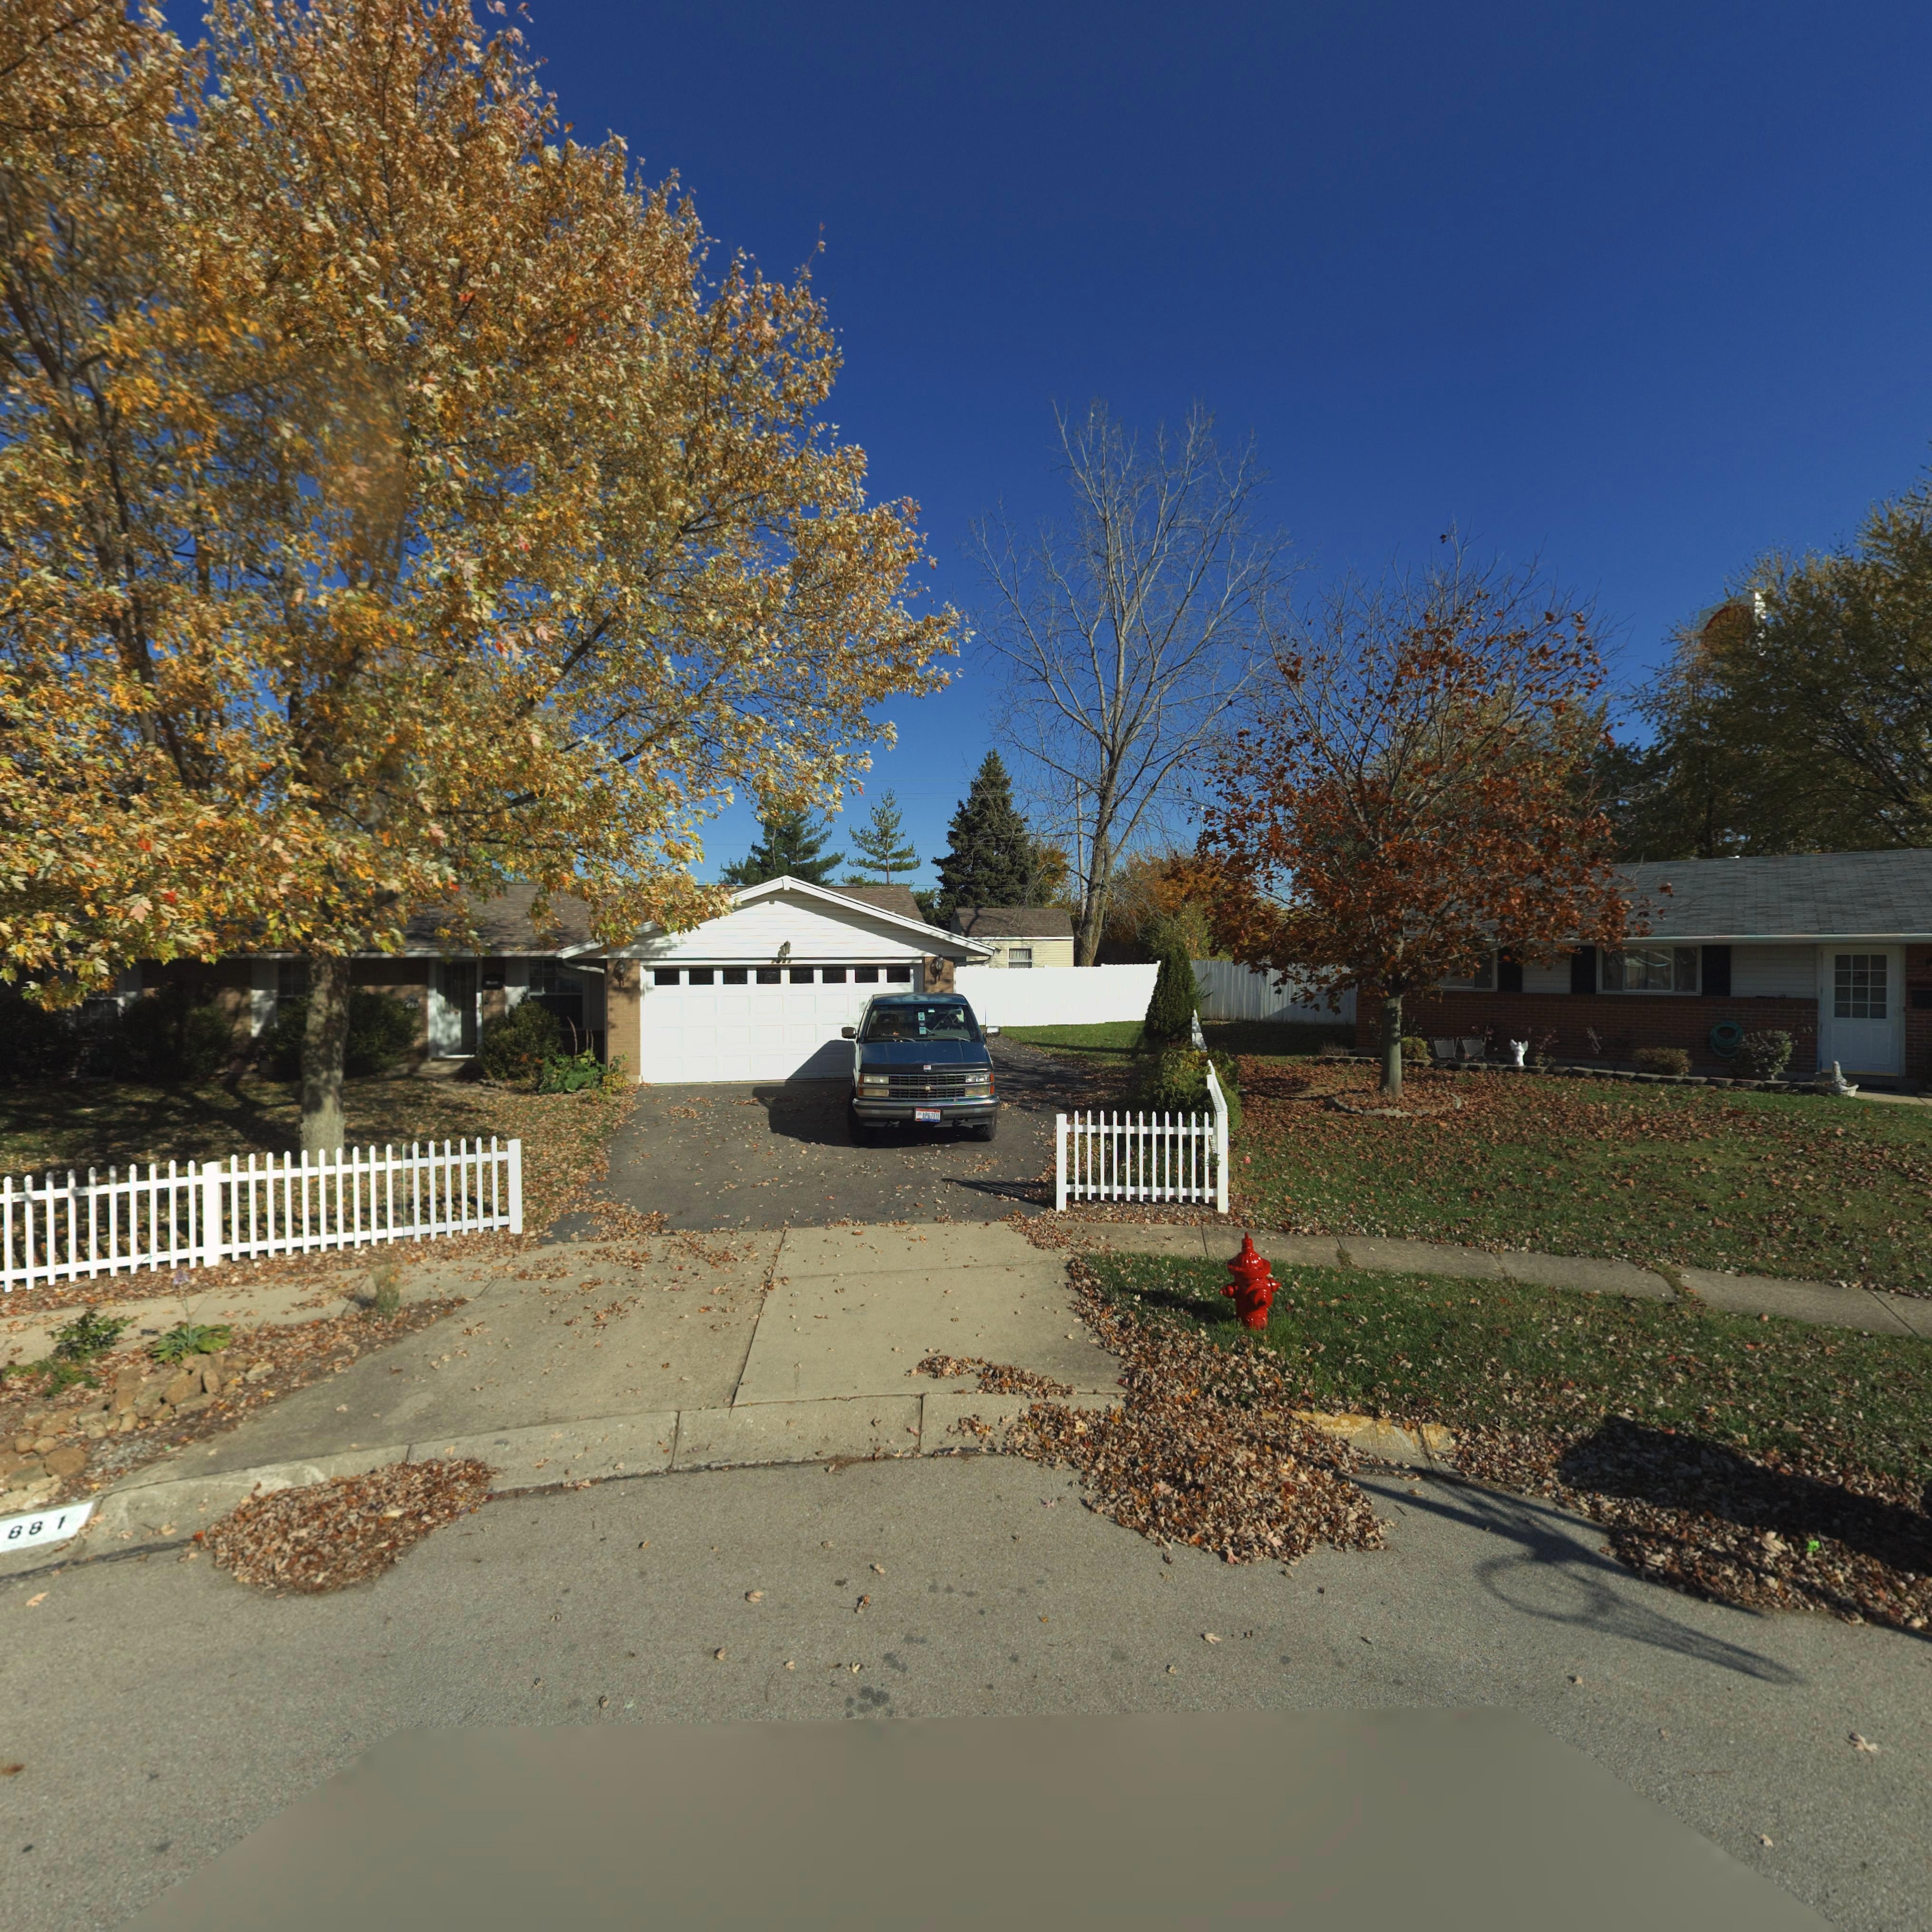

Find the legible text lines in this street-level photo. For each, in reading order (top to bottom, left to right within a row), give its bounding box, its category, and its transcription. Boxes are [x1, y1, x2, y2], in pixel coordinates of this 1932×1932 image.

[769, 957, 792, 965] StreetNumber: 7**1
[6, 1514, 68, 1541] StreetNumber: 881